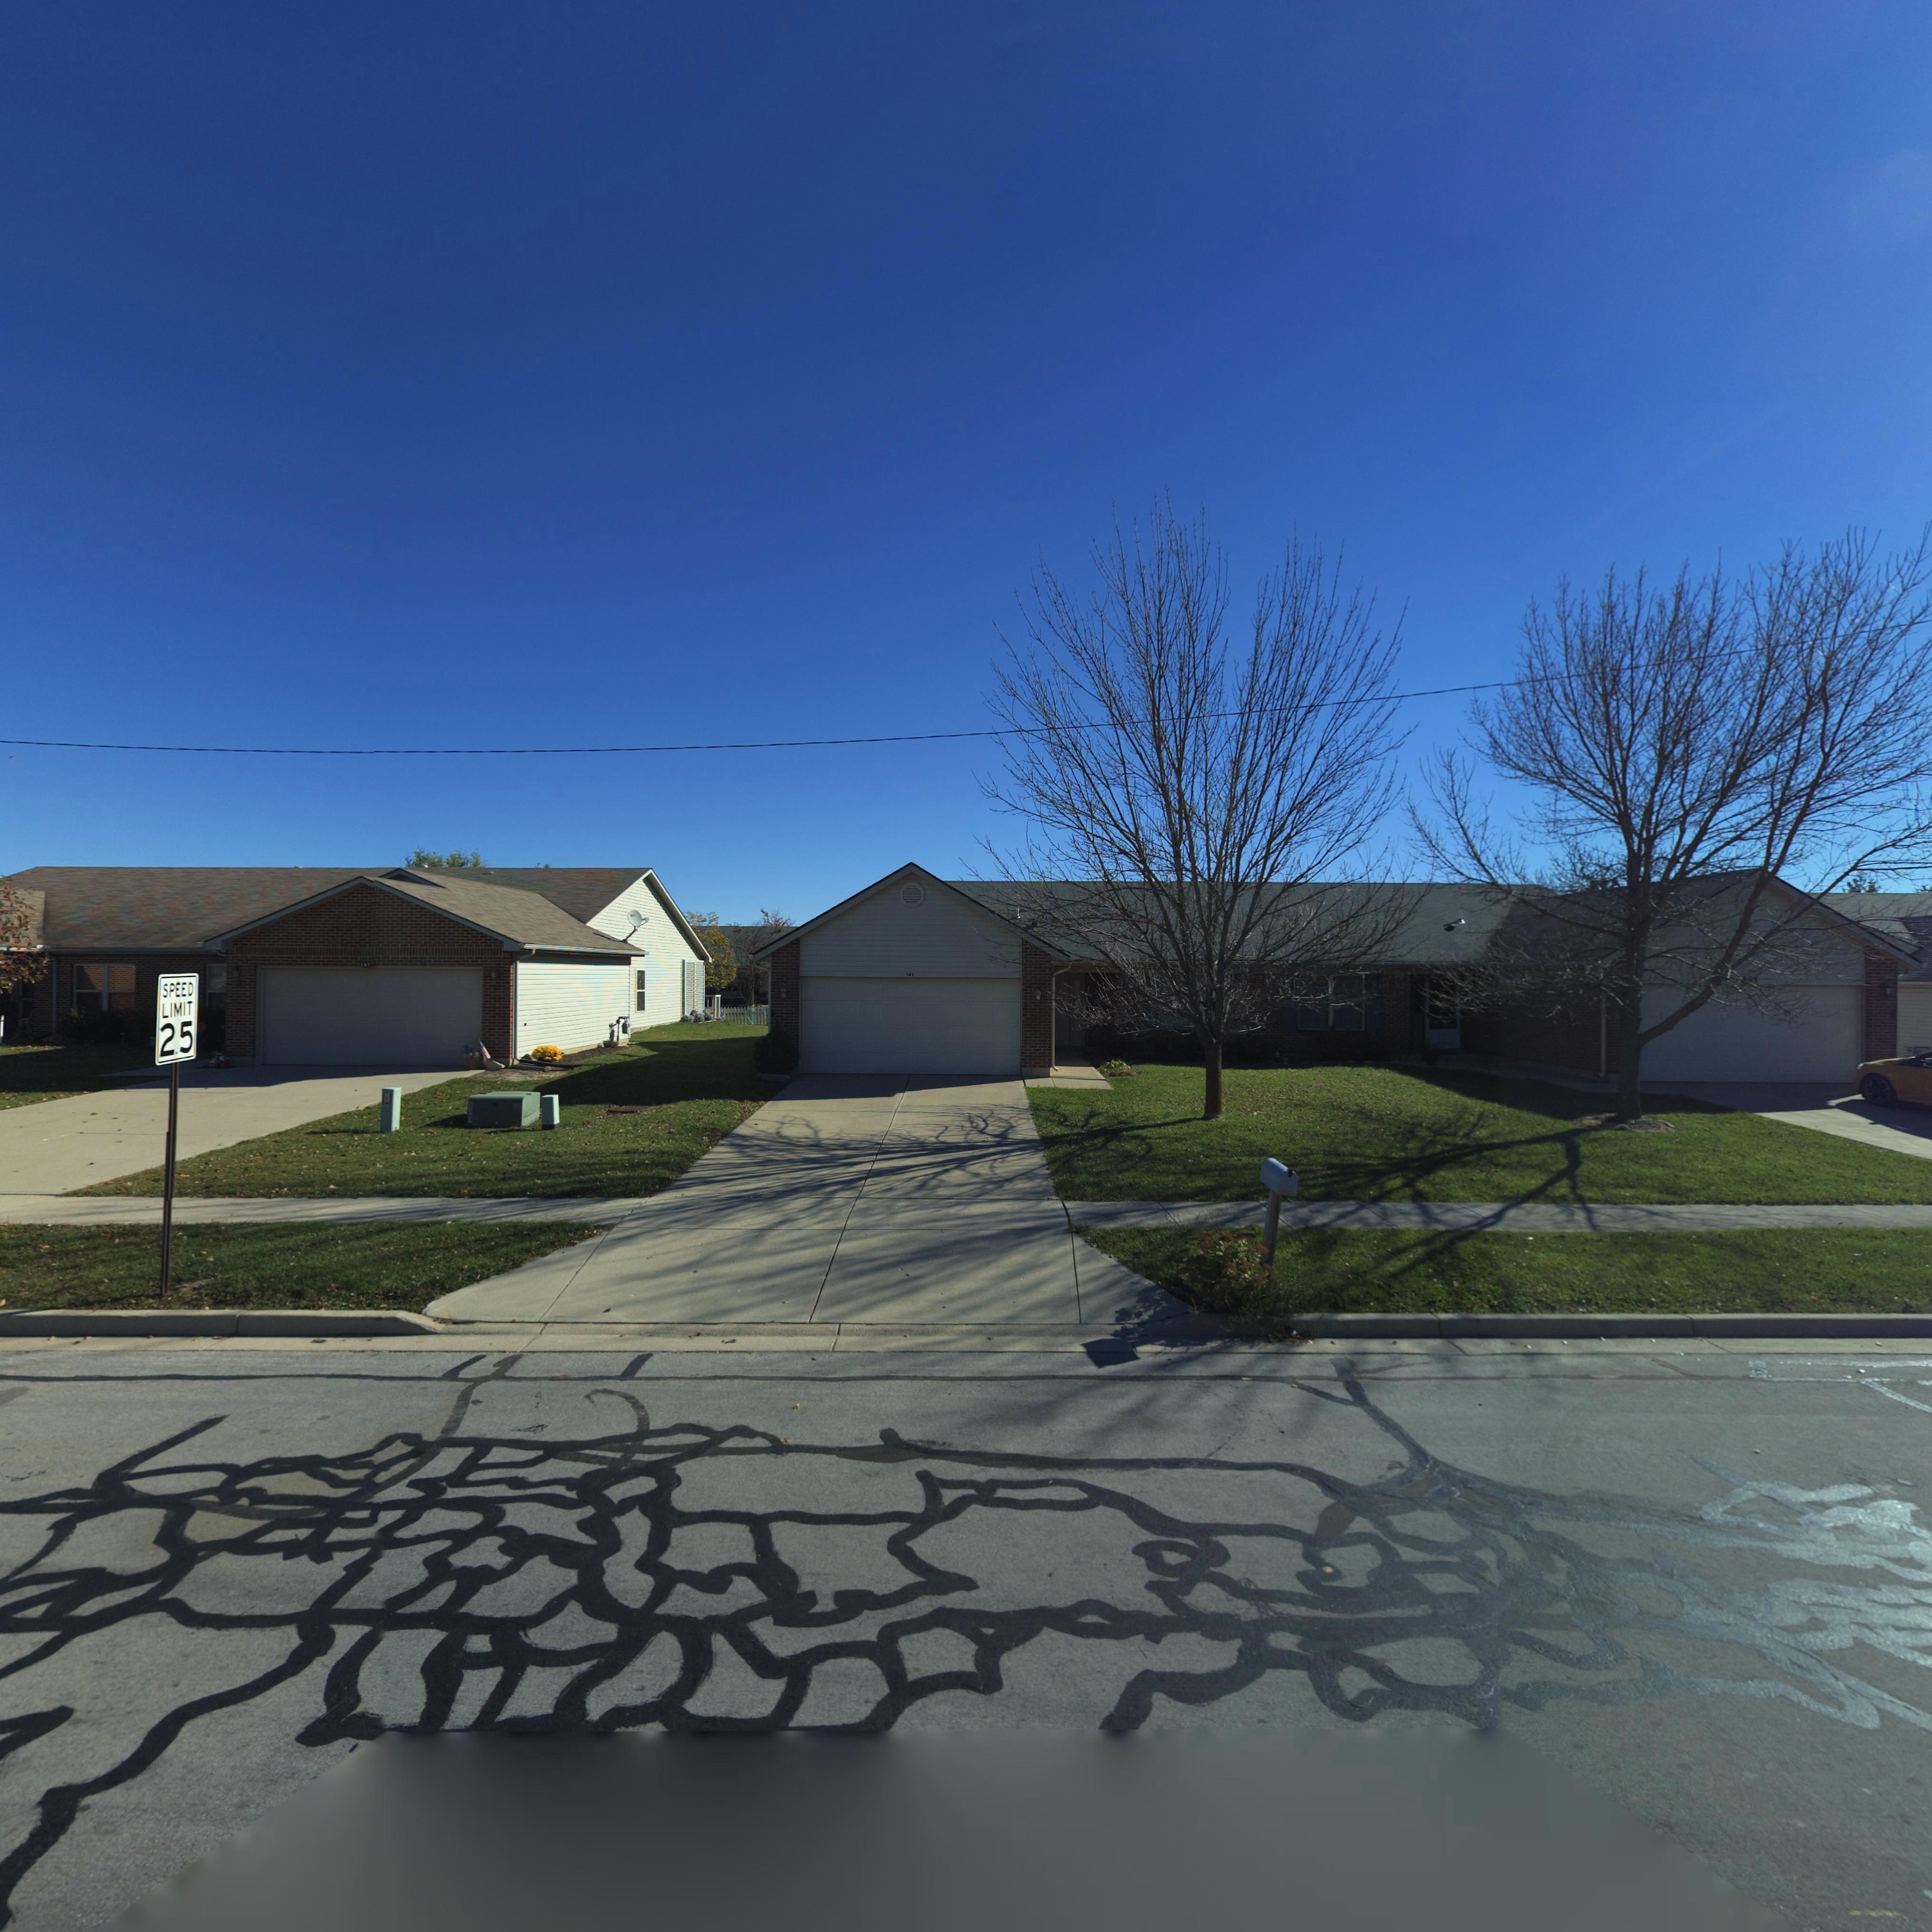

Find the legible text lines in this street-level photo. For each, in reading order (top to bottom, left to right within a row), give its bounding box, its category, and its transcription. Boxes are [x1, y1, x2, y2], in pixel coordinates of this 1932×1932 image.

[360, 962, 370, 967] StreetNumber: 147
[906, 973, 914, 977] StreetNumber: 149
[162, 981, 195, 999] None: SPEED
[161, 999, 193, 1019] None: LIMIT
[158, 1018, 194, 1061] None: 25